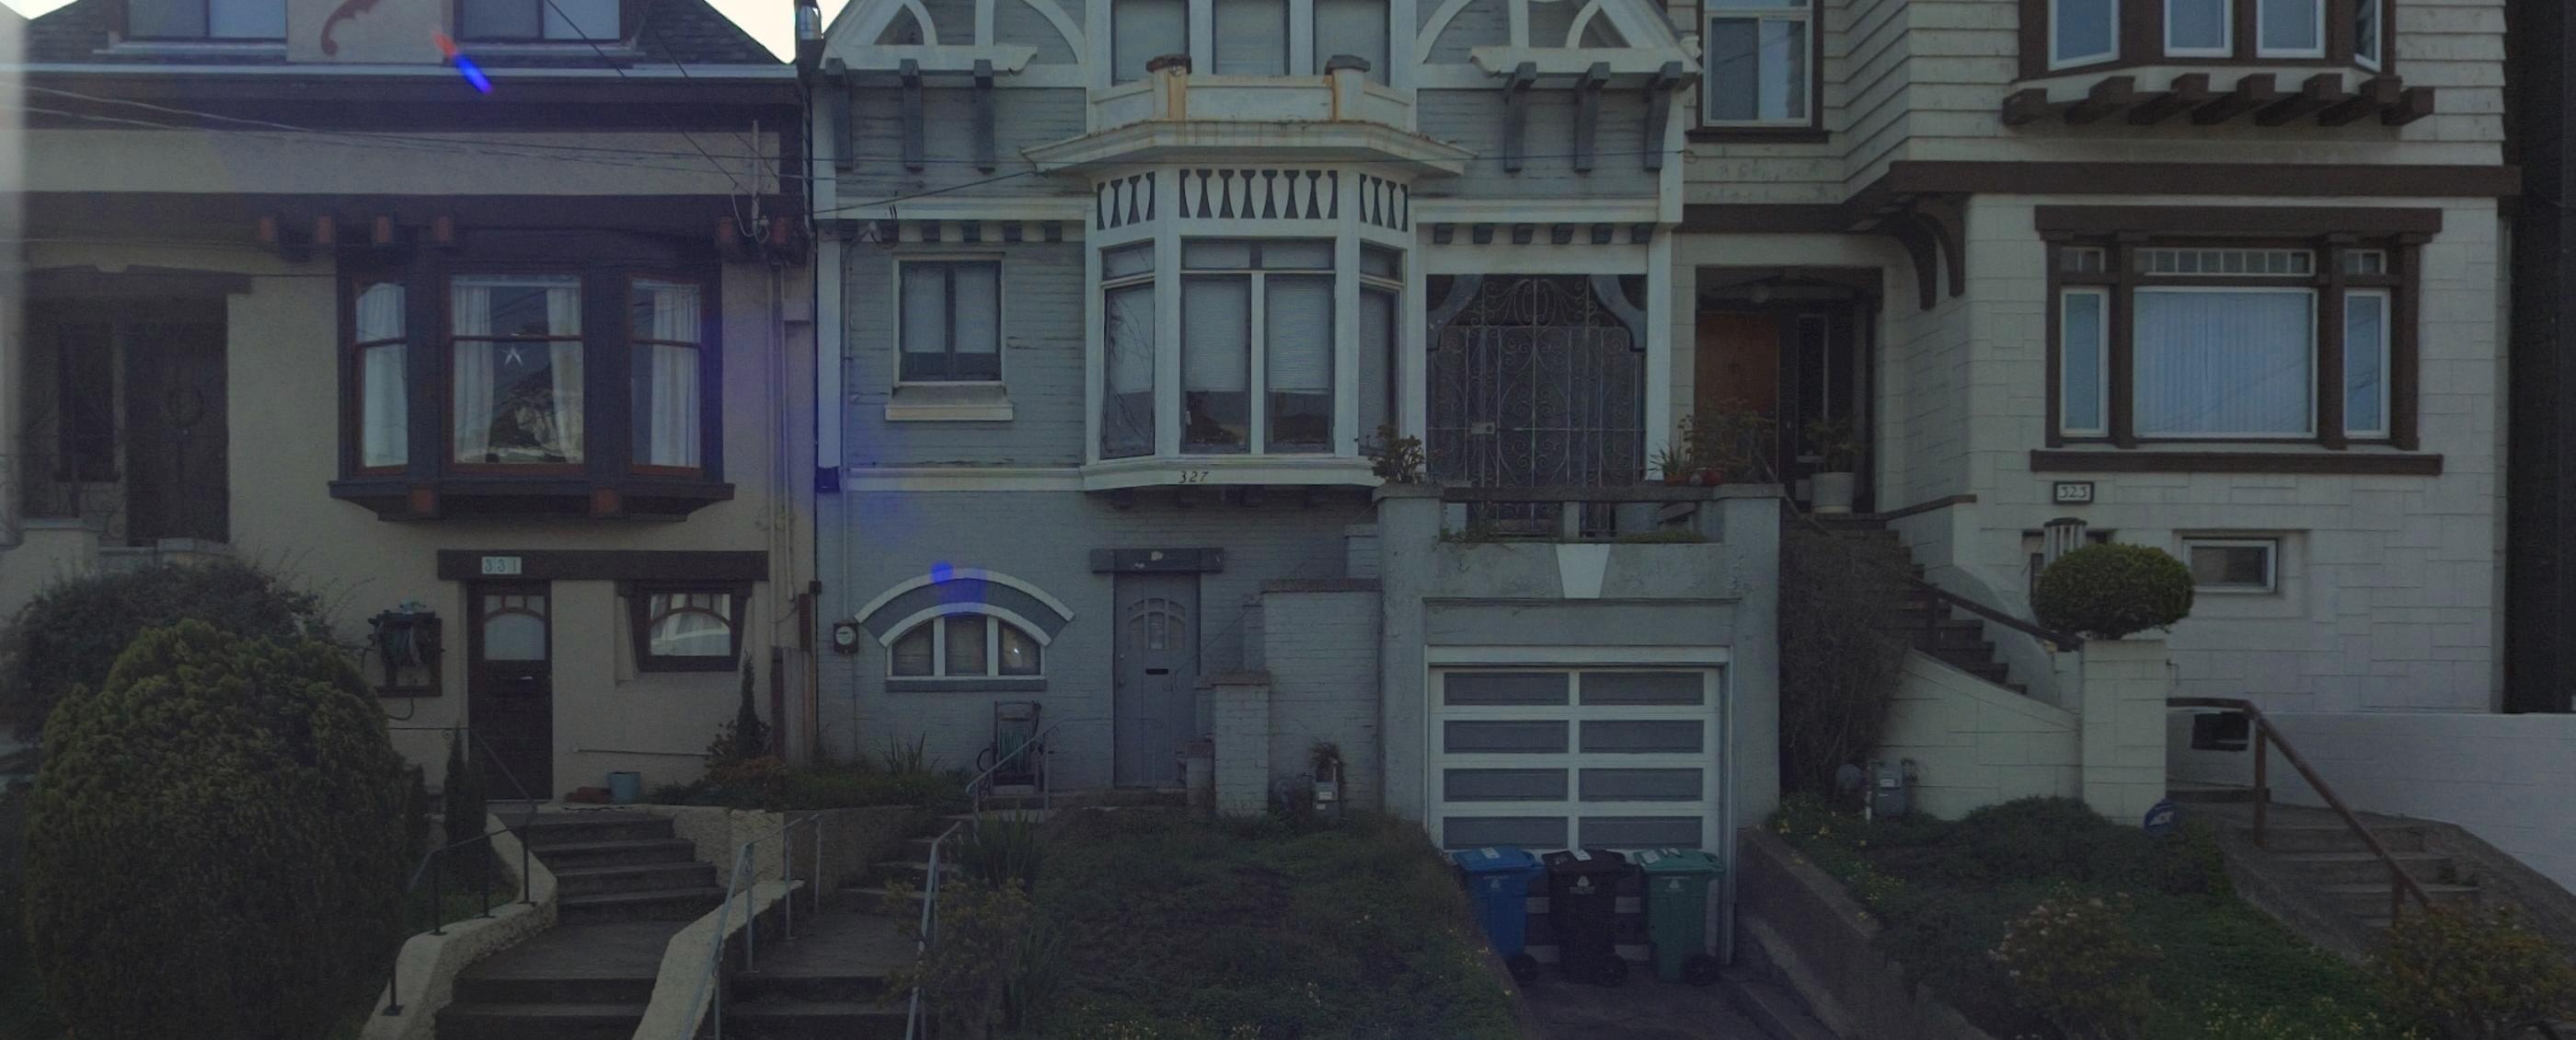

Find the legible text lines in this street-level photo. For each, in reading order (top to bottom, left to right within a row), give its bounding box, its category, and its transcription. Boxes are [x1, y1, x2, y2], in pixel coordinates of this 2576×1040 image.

[1177, 469, 1211, 484] StreetNumber: 327
[2057, 485, 2088, 499] StreetNumber: 323
[483, 558, 518, 573] StreetNumber: 331